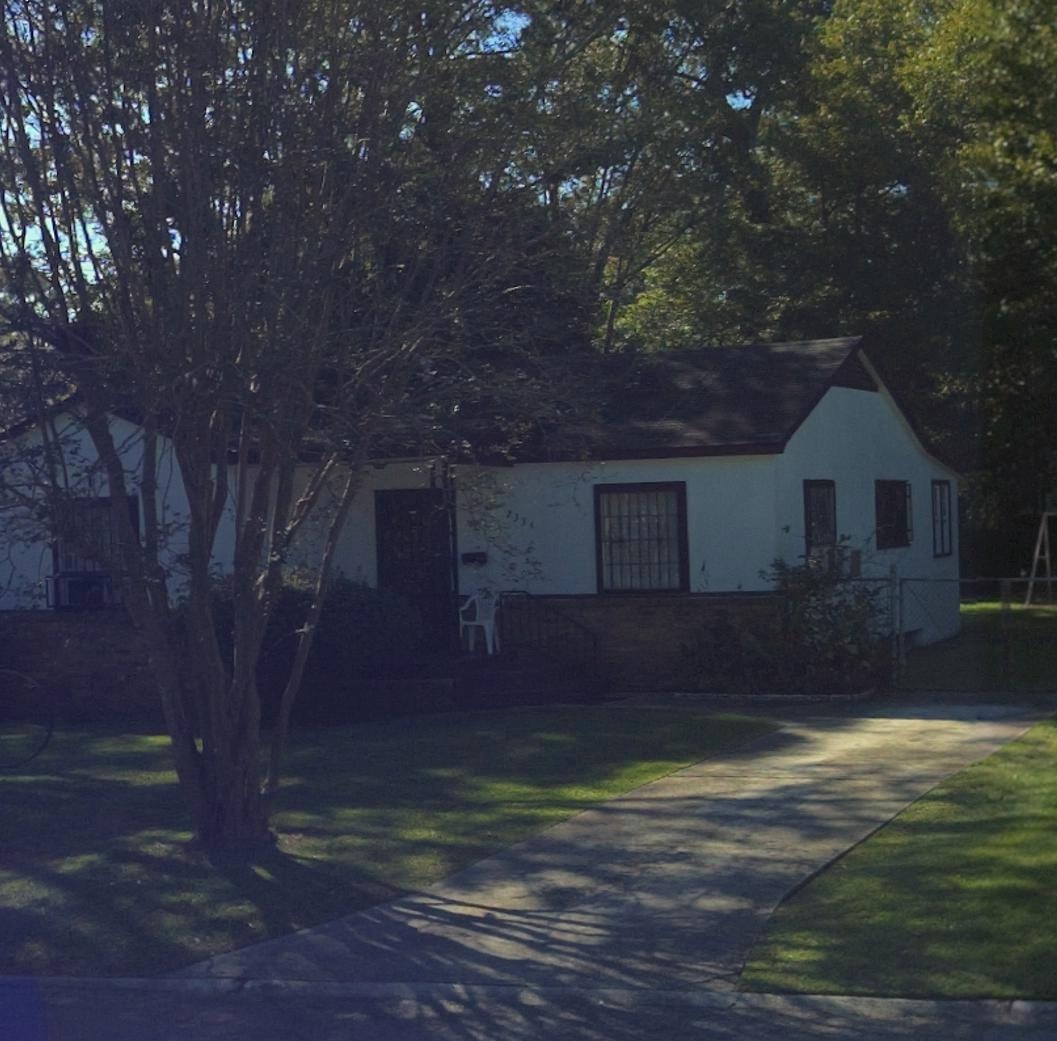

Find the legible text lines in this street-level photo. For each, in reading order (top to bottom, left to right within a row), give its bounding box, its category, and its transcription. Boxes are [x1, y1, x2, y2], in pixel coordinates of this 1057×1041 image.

[504, 507, 537, 531] StreetNumber: 2335